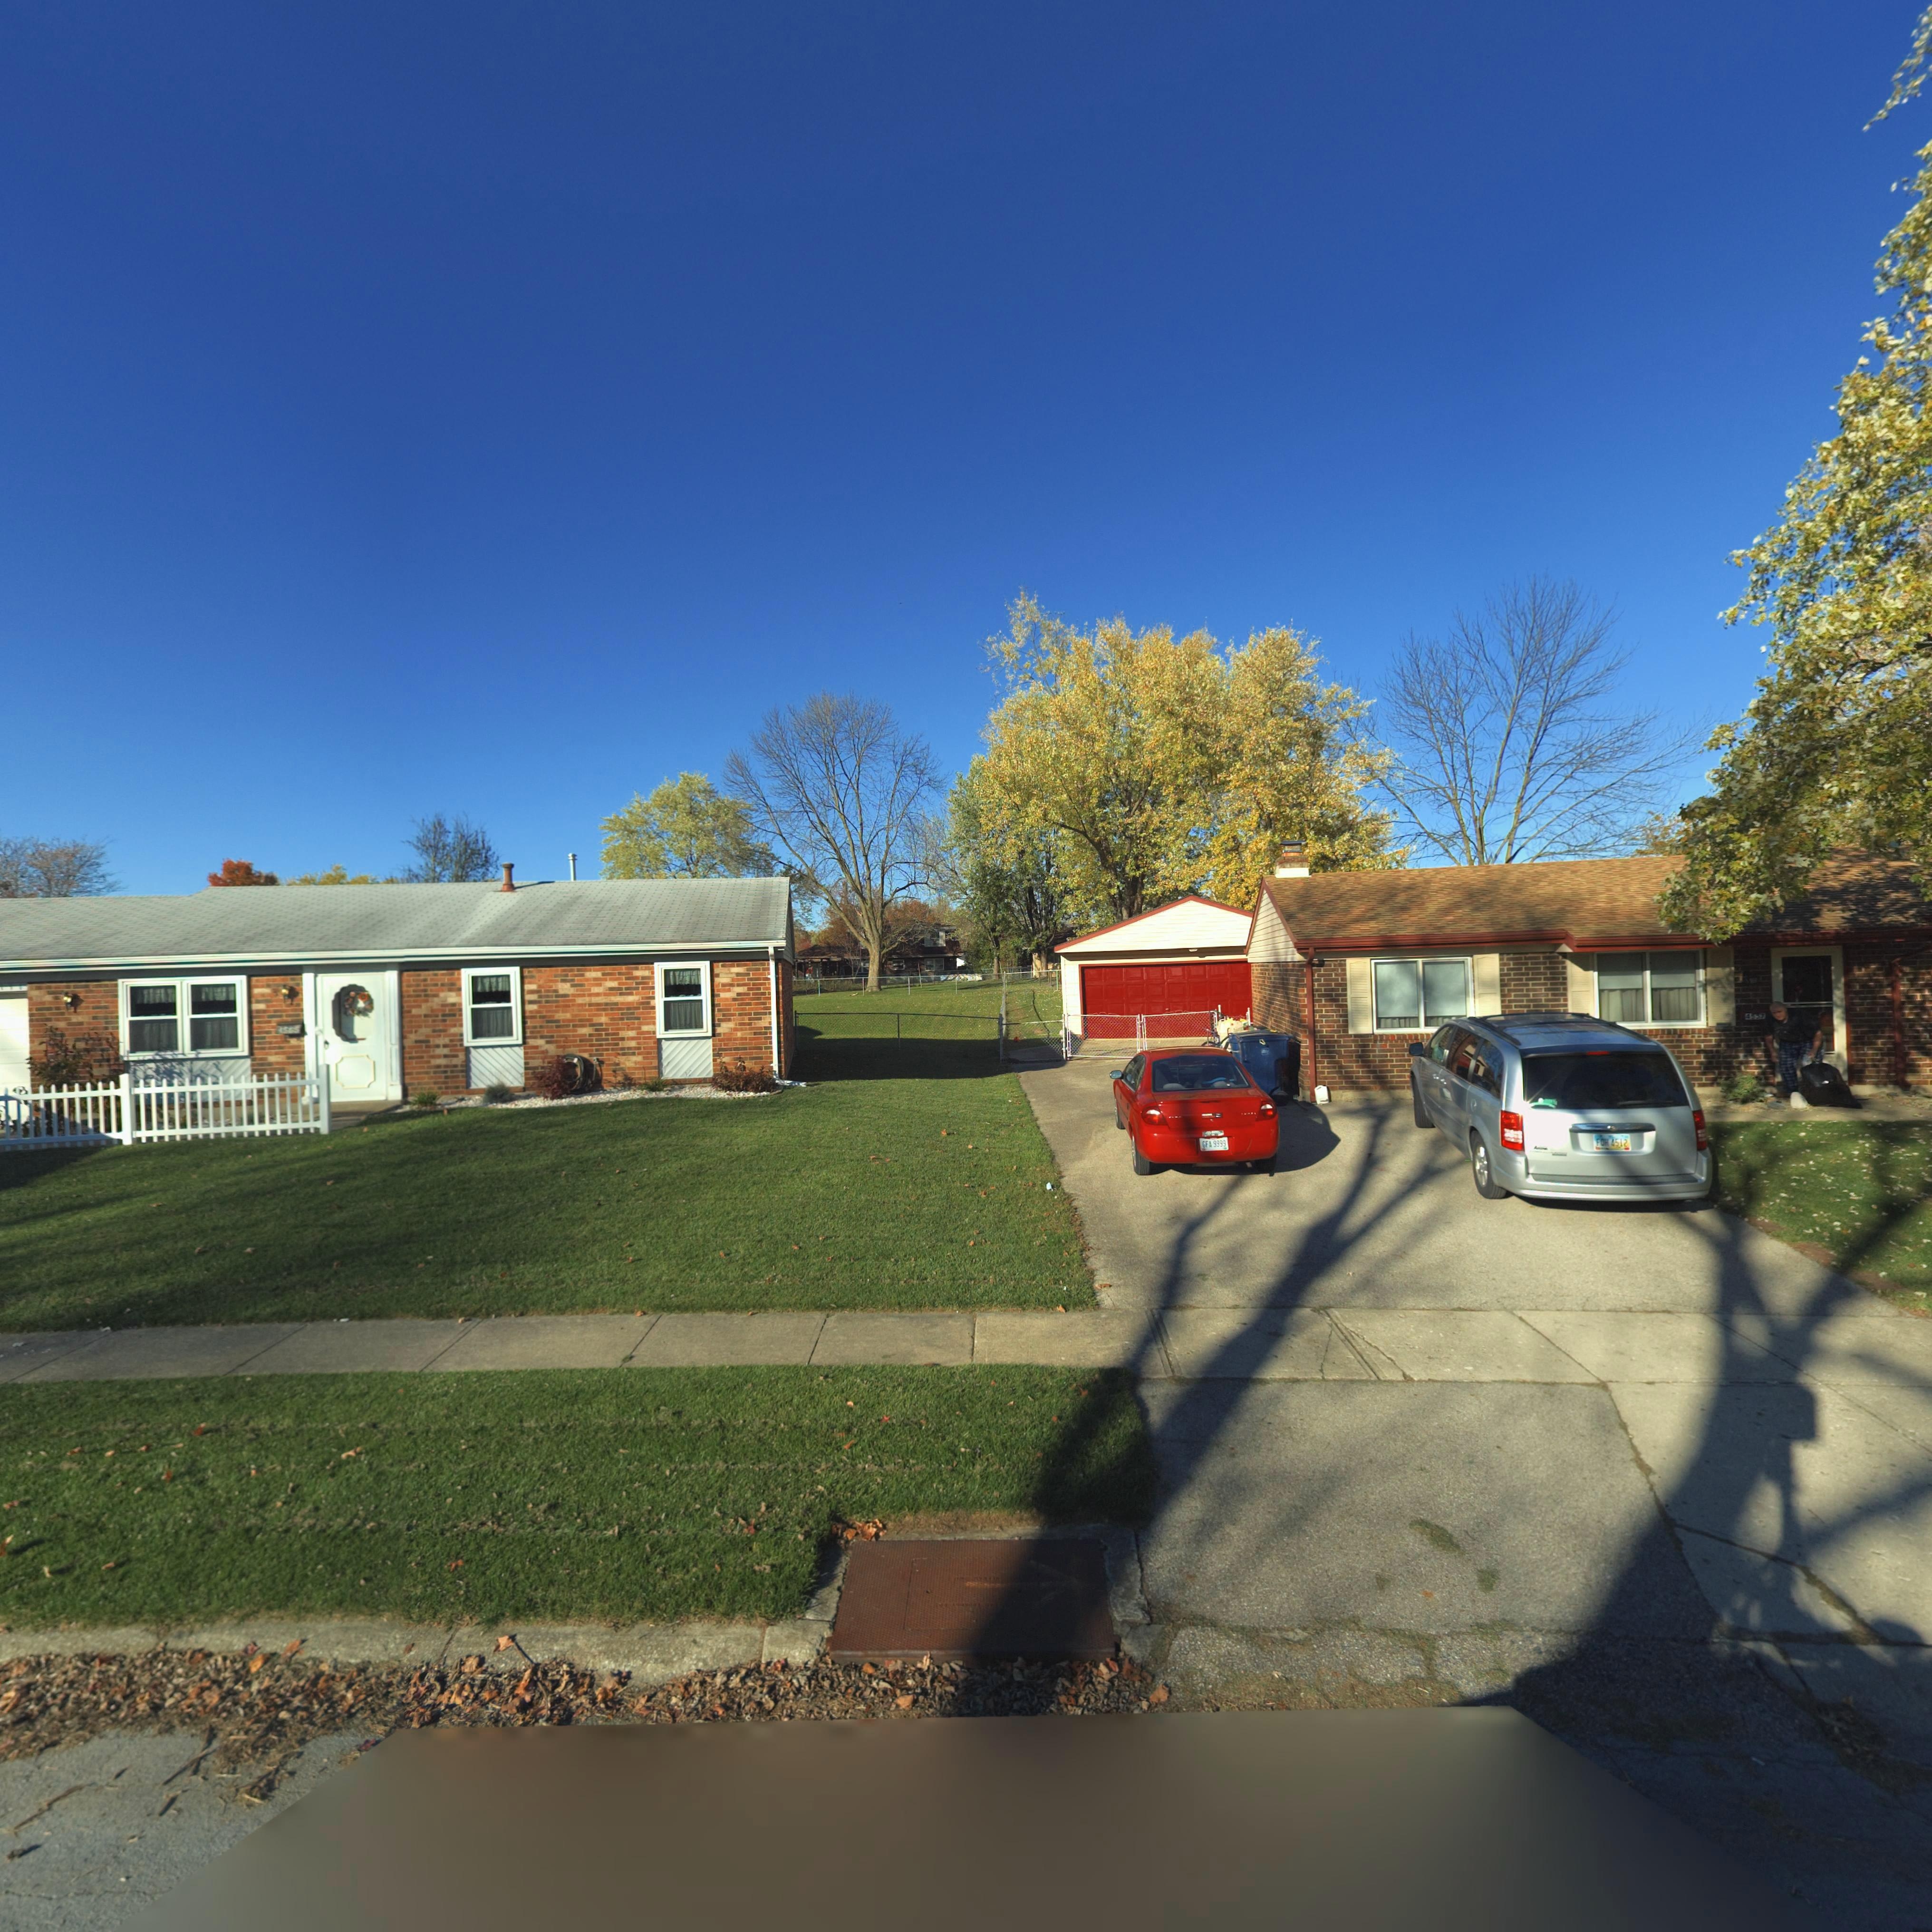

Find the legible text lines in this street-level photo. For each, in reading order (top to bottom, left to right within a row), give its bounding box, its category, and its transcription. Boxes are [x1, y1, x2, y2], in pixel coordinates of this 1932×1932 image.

[1744, 1013, 1766, 1020] StreetNumber: 4557
[276, 1025, 300, 1034] StreetNumber: 4565